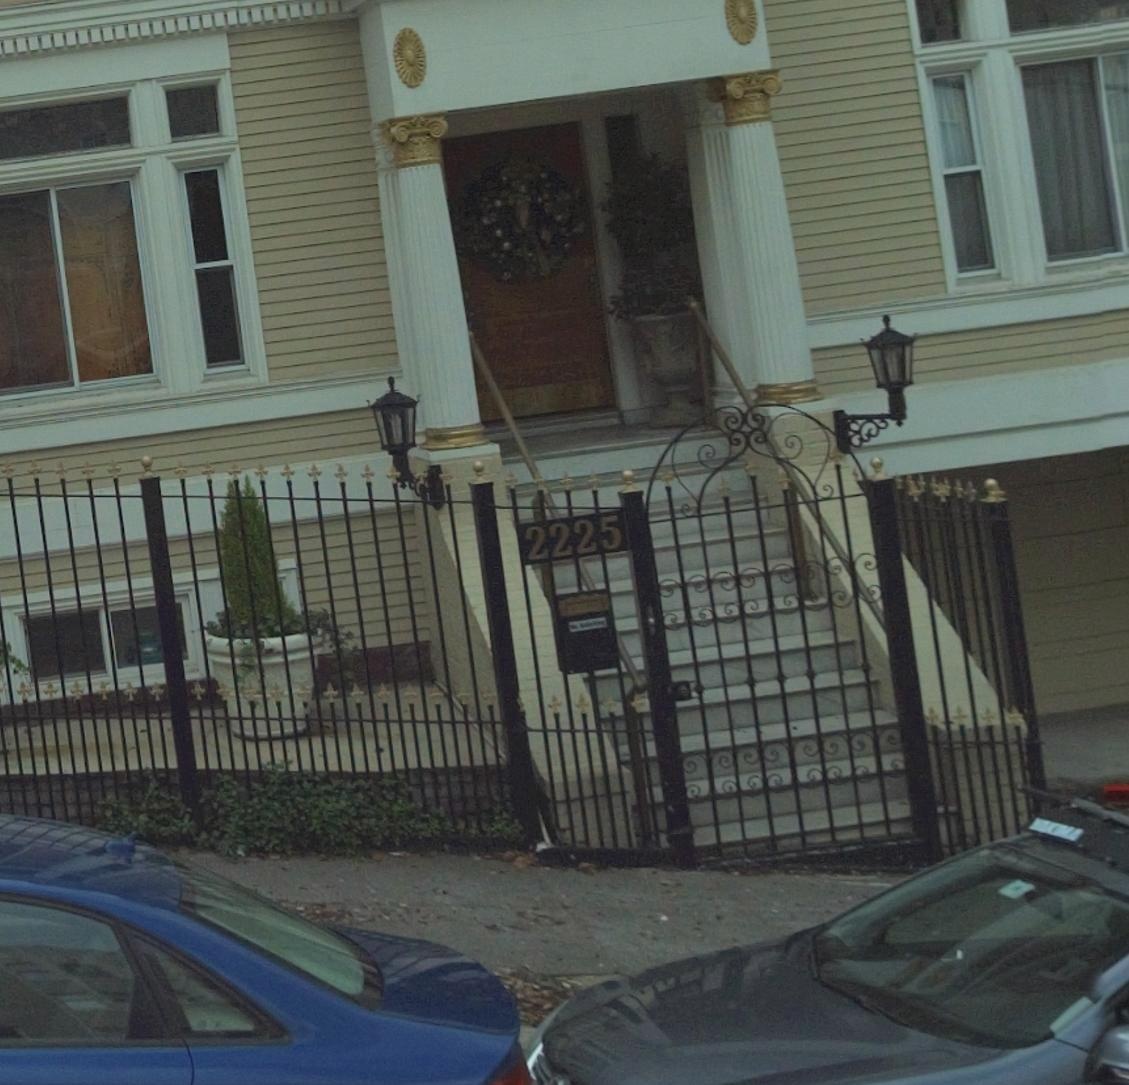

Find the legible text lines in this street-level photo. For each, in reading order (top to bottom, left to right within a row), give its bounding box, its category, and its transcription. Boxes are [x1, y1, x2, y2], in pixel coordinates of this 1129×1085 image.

[522, 511, 626, 565] StreetNumber: 2225